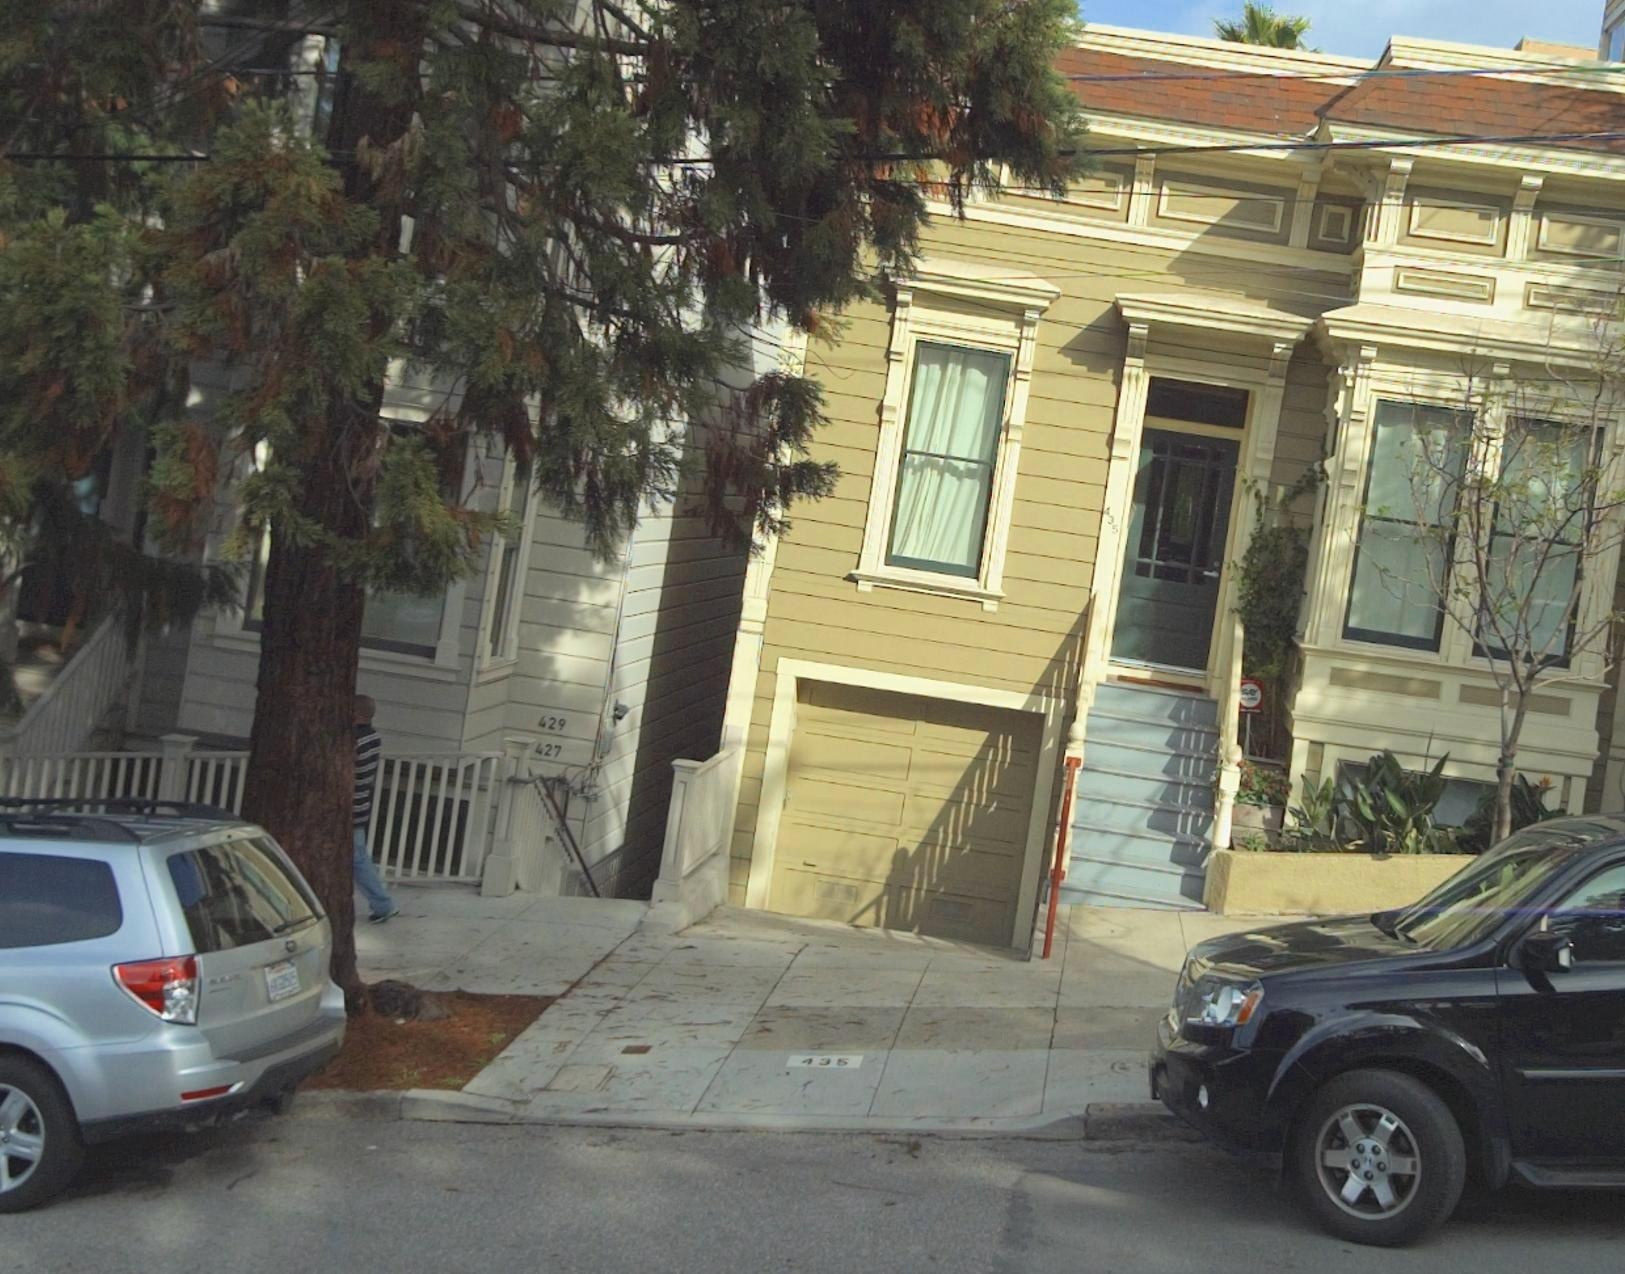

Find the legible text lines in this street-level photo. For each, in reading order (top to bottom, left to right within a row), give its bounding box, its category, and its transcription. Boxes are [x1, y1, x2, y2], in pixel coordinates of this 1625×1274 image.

[1102, 505, 1119, 535] StreetNumber: 435
[536, 714, 568, 732] StreetNumber: 429
[531, 741, 565, 759] StreetNumber: 427
[799, 1056, 849, 1067] StreetNumber: 435